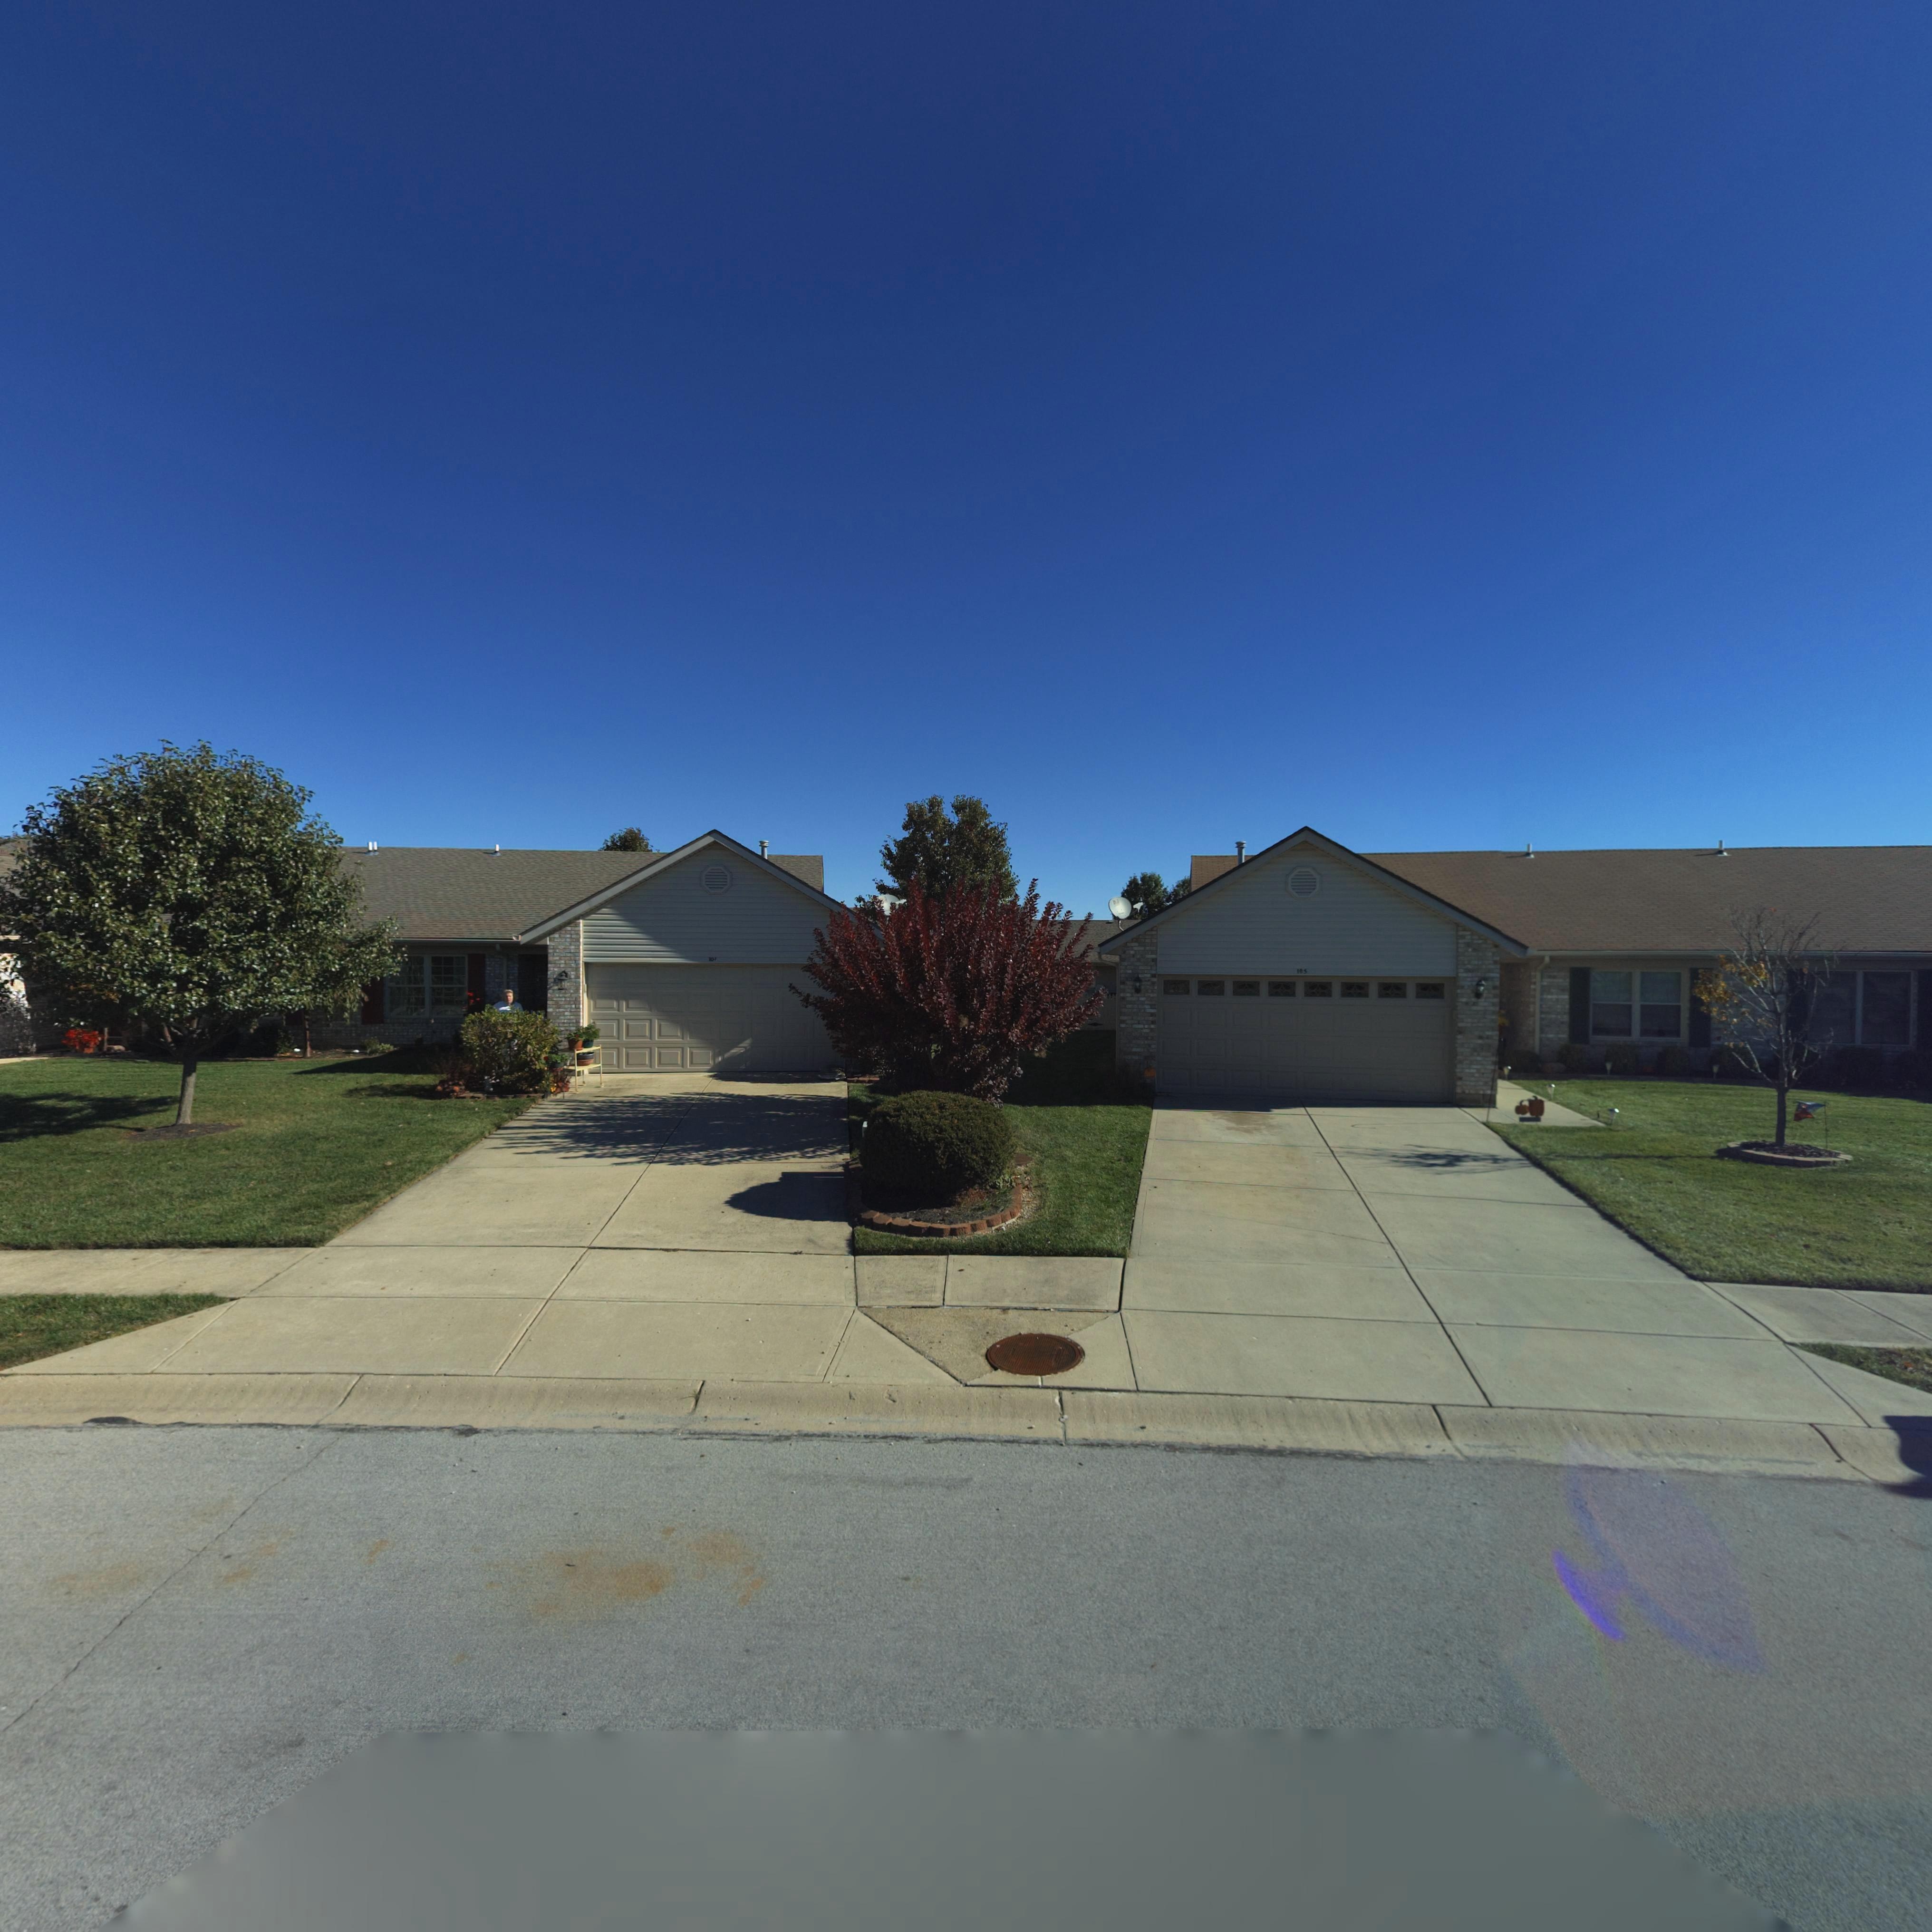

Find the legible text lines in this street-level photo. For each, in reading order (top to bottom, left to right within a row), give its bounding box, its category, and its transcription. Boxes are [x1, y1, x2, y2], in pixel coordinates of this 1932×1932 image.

[708, 956, 717, 962] StreetNumber: 107
[1296, 968, 1307, 974] StreetNumber: 105